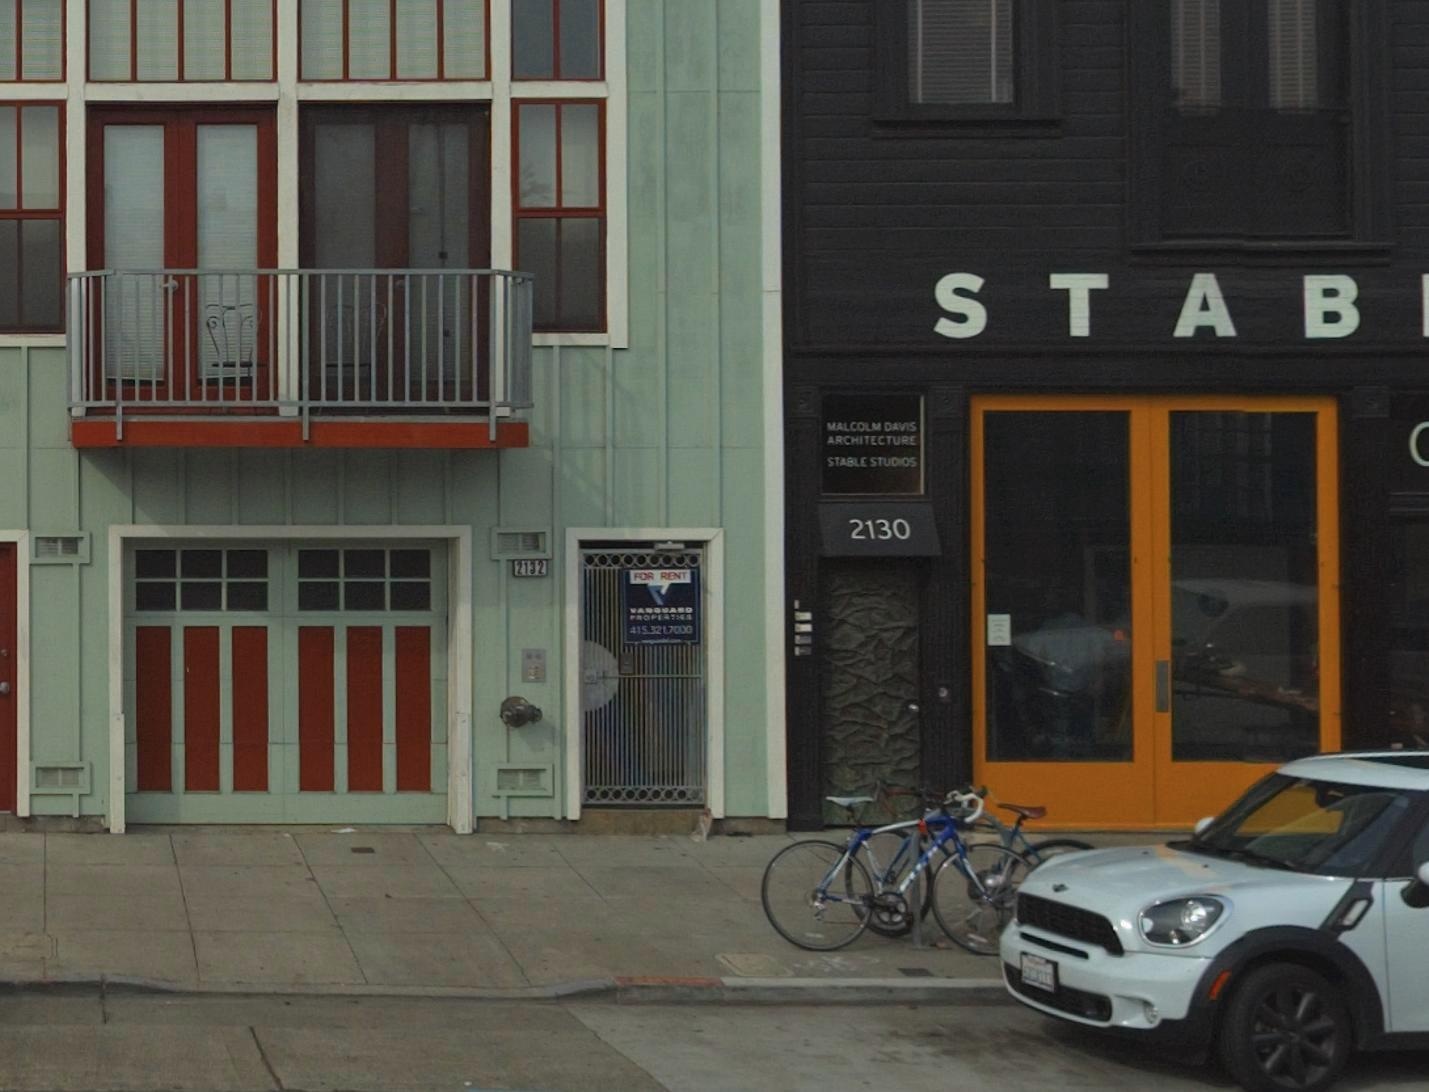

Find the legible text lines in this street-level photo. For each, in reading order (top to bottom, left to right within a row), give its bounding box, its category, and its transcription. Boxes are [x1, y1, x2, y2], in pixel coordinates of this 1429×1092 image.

[930, 271, 1365, 342] BusinessName: STAB
[825, 420, 918, 433] BusinessName: MALCOLM DAVIS
[824, 434, 917, 446] BusinessName: ARCHITECTURE
[825, 455, 919, 468] BusinessName: STABLE STUDIOS
[848, 516, 915, 542] StreetNumber: 2130
[515, 560, 546, 576] StreetNumber: 2132
[632, 570, 689, 582] None: FOR RENT
[628, 624, 694, 635] None: 415 321 7000